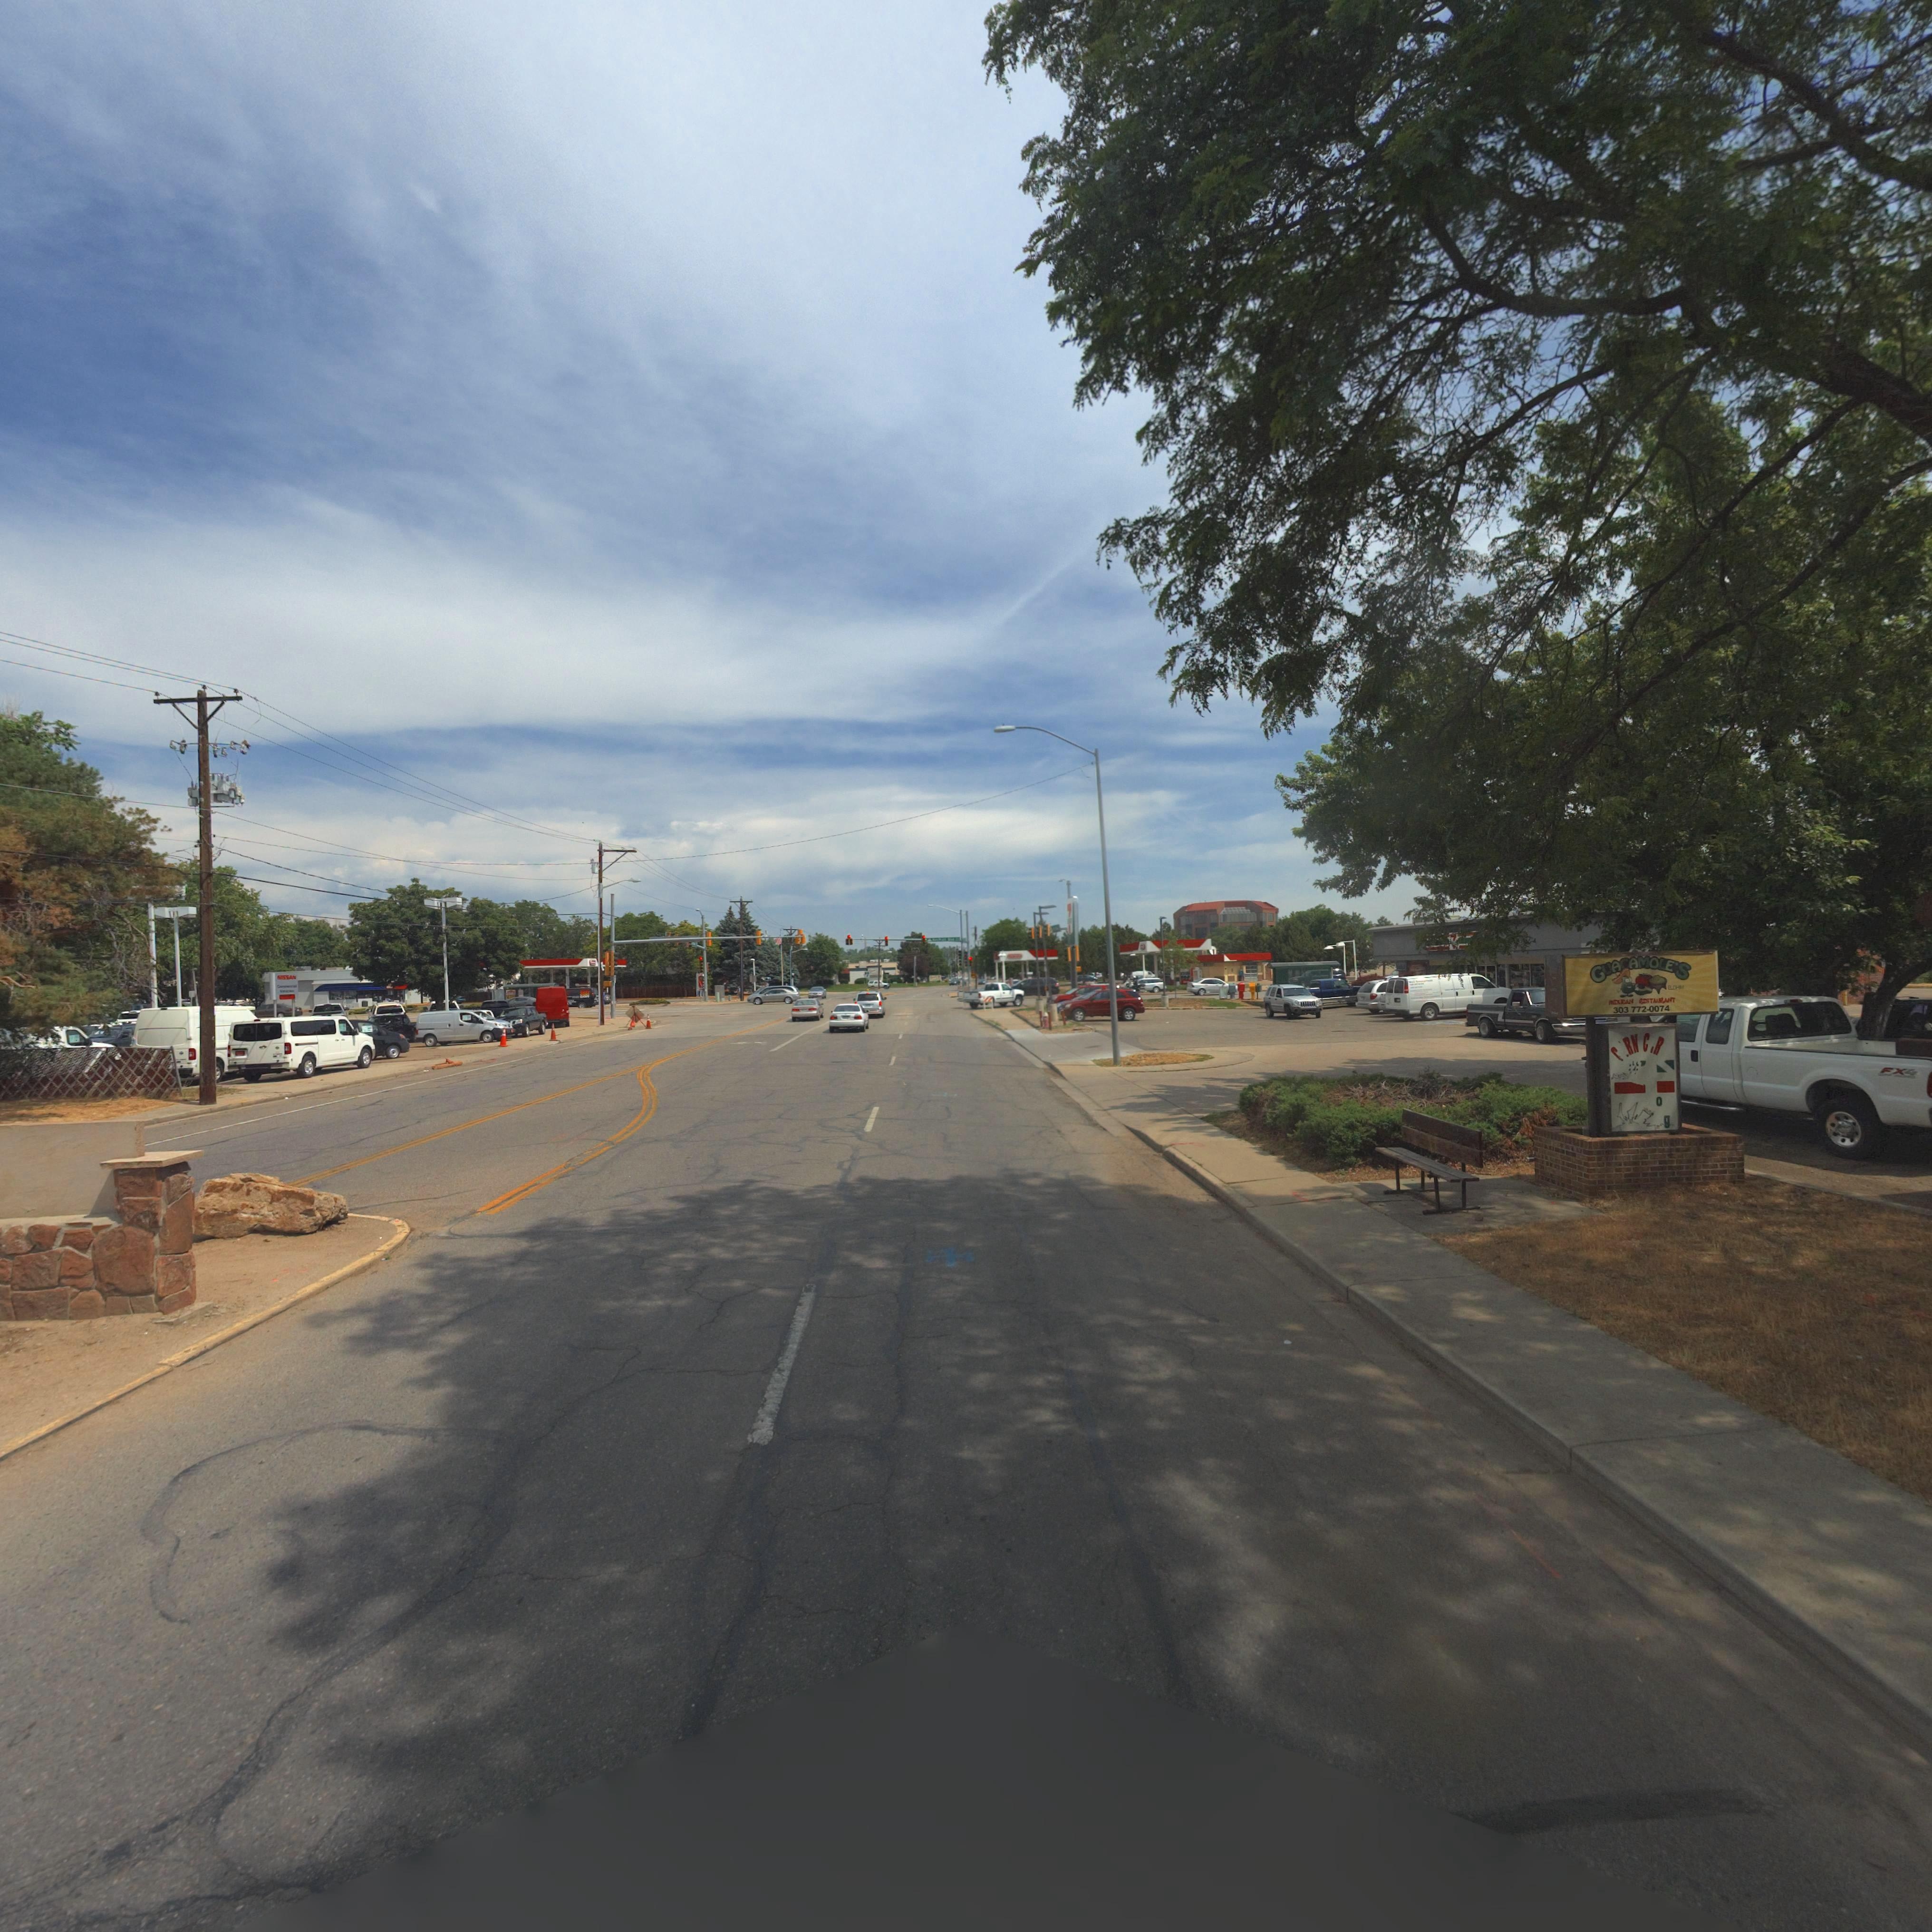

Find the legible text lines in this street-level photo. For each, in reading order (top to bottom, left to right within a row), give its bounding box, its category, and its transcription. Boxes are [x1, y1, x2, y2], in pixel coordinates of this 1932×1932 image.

[932, 937, 955, 941] StreetName: Ken Pratt Blvd
[1589, 955, 1692, 985] BusinessName: GUACAMOLE'S
[277, 975, 296, 980] BusinessName: NISSAN